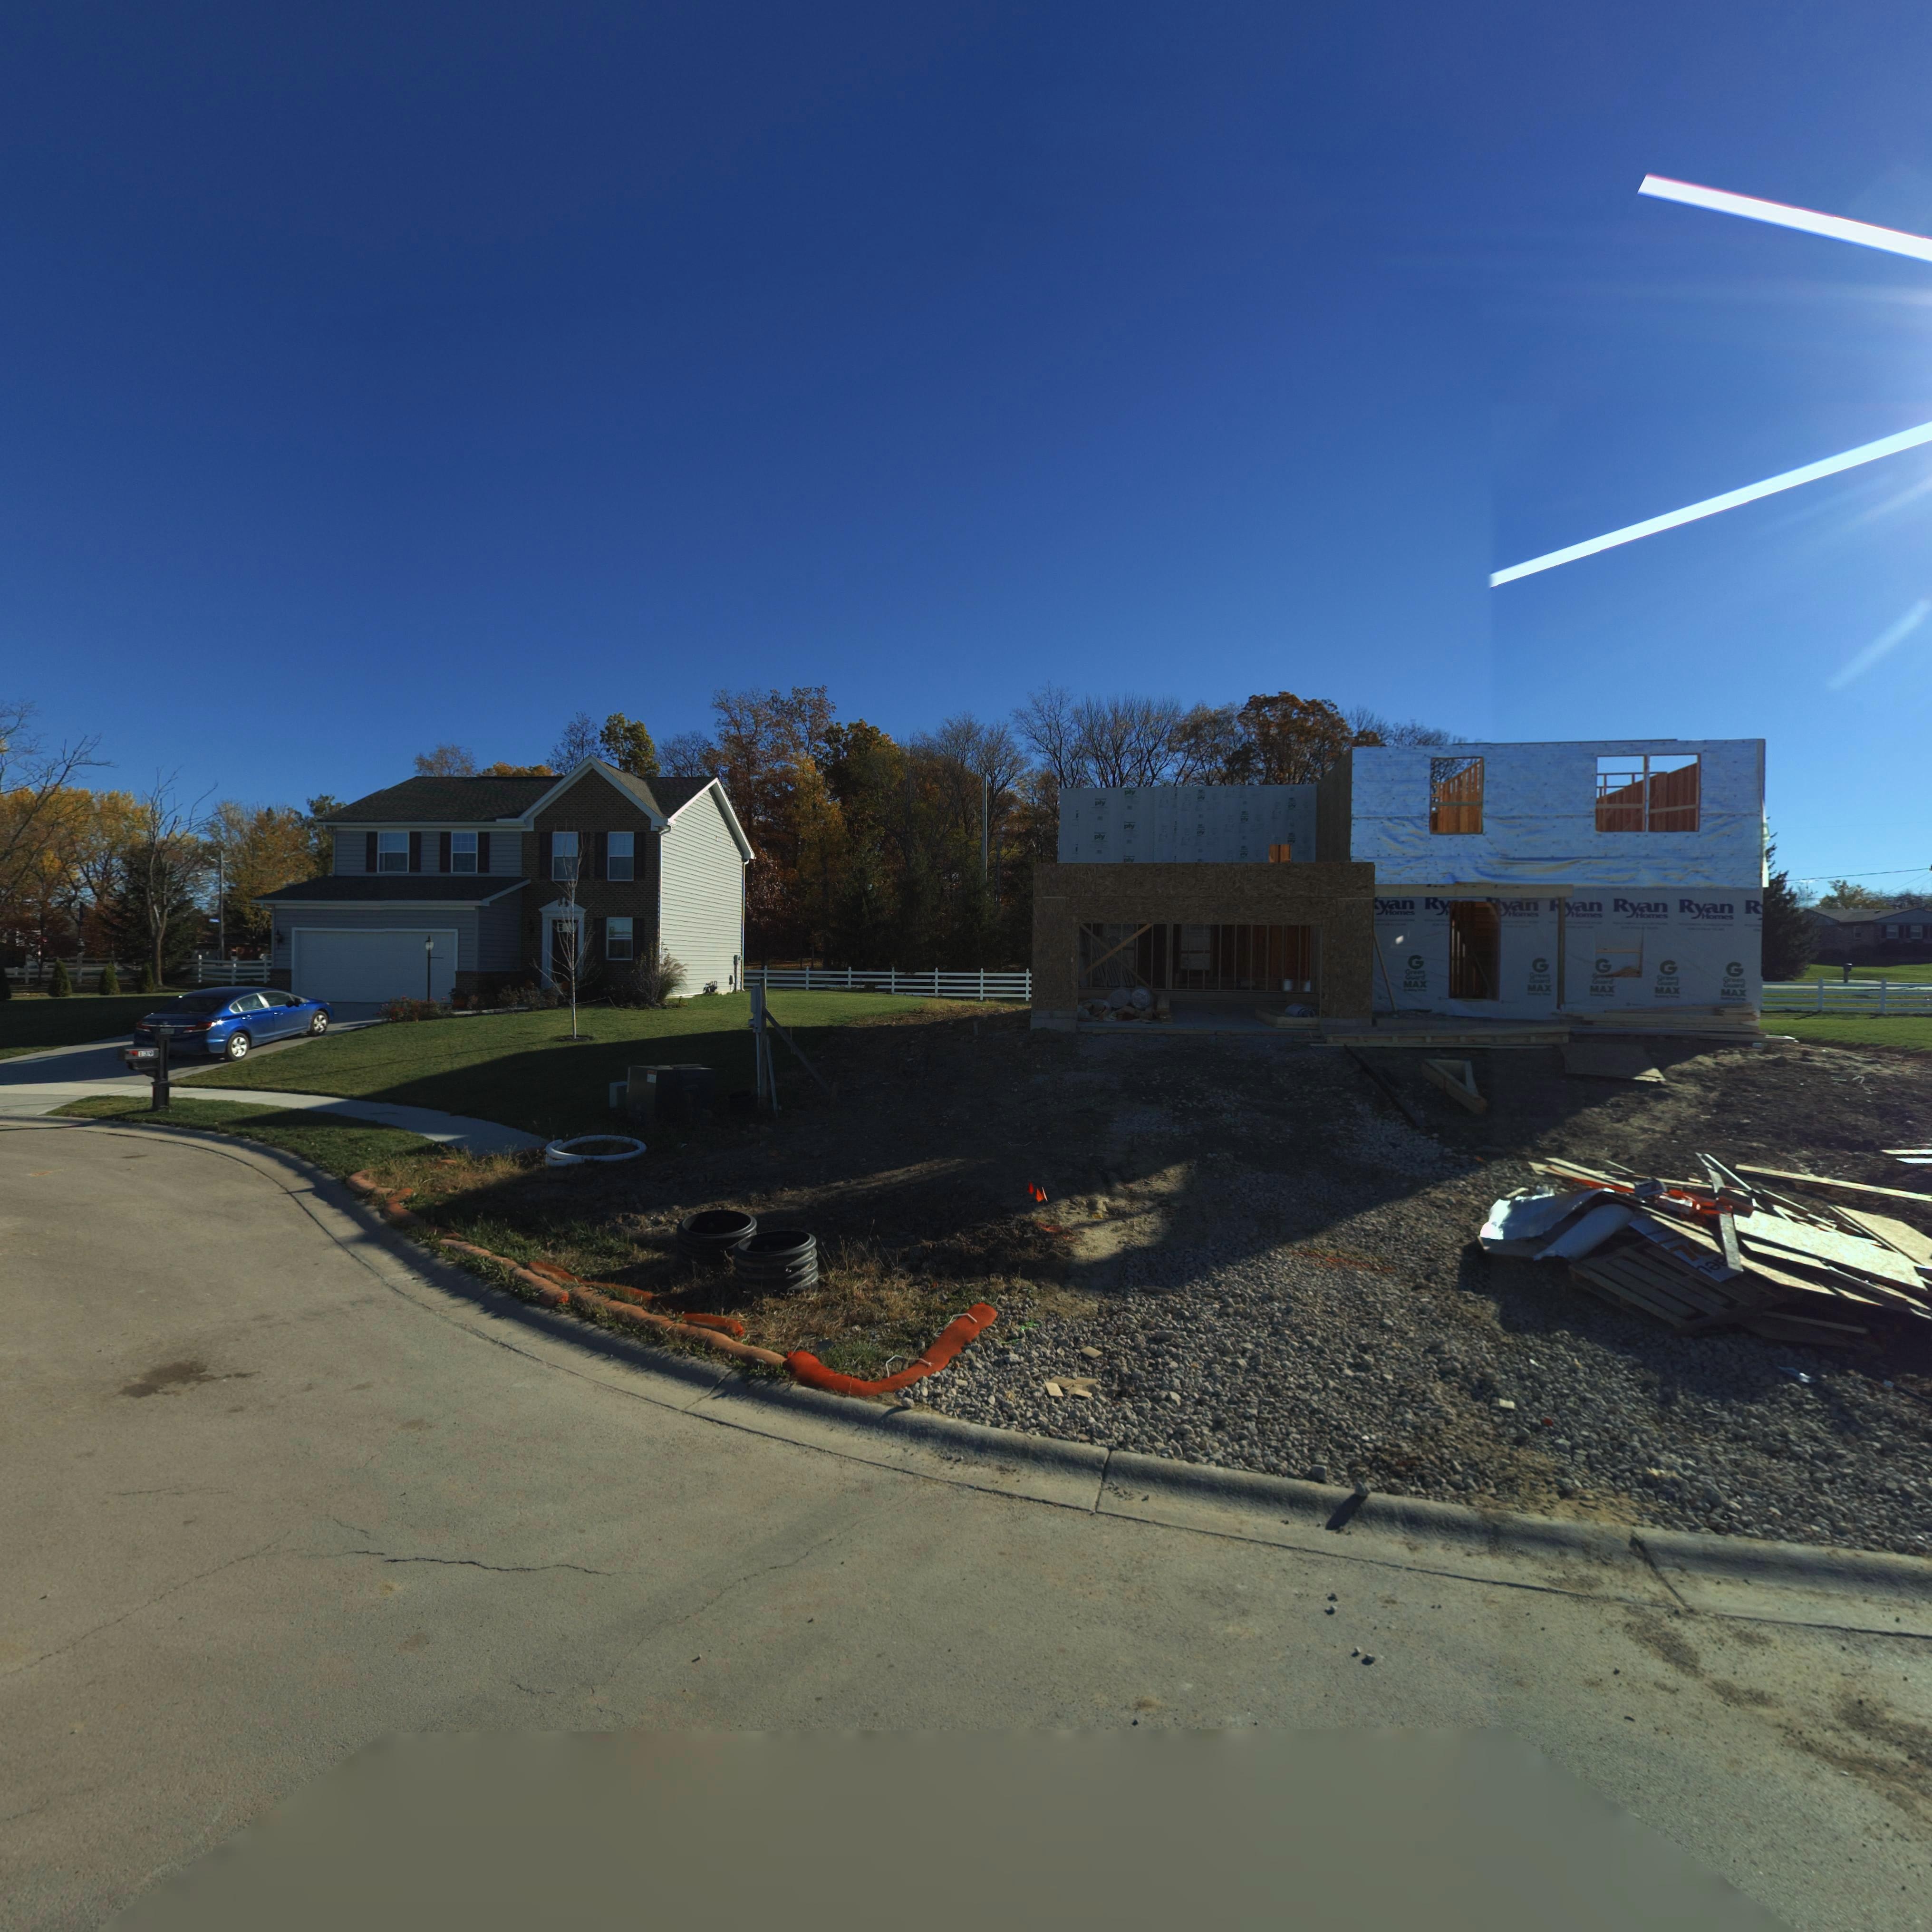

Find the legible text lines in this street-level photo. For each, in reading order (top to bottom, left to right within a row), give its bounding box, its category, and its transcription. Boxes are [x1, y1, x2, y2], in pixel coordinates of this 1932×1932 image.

[138, 1050, 154, 1056] StreetNumber: 109